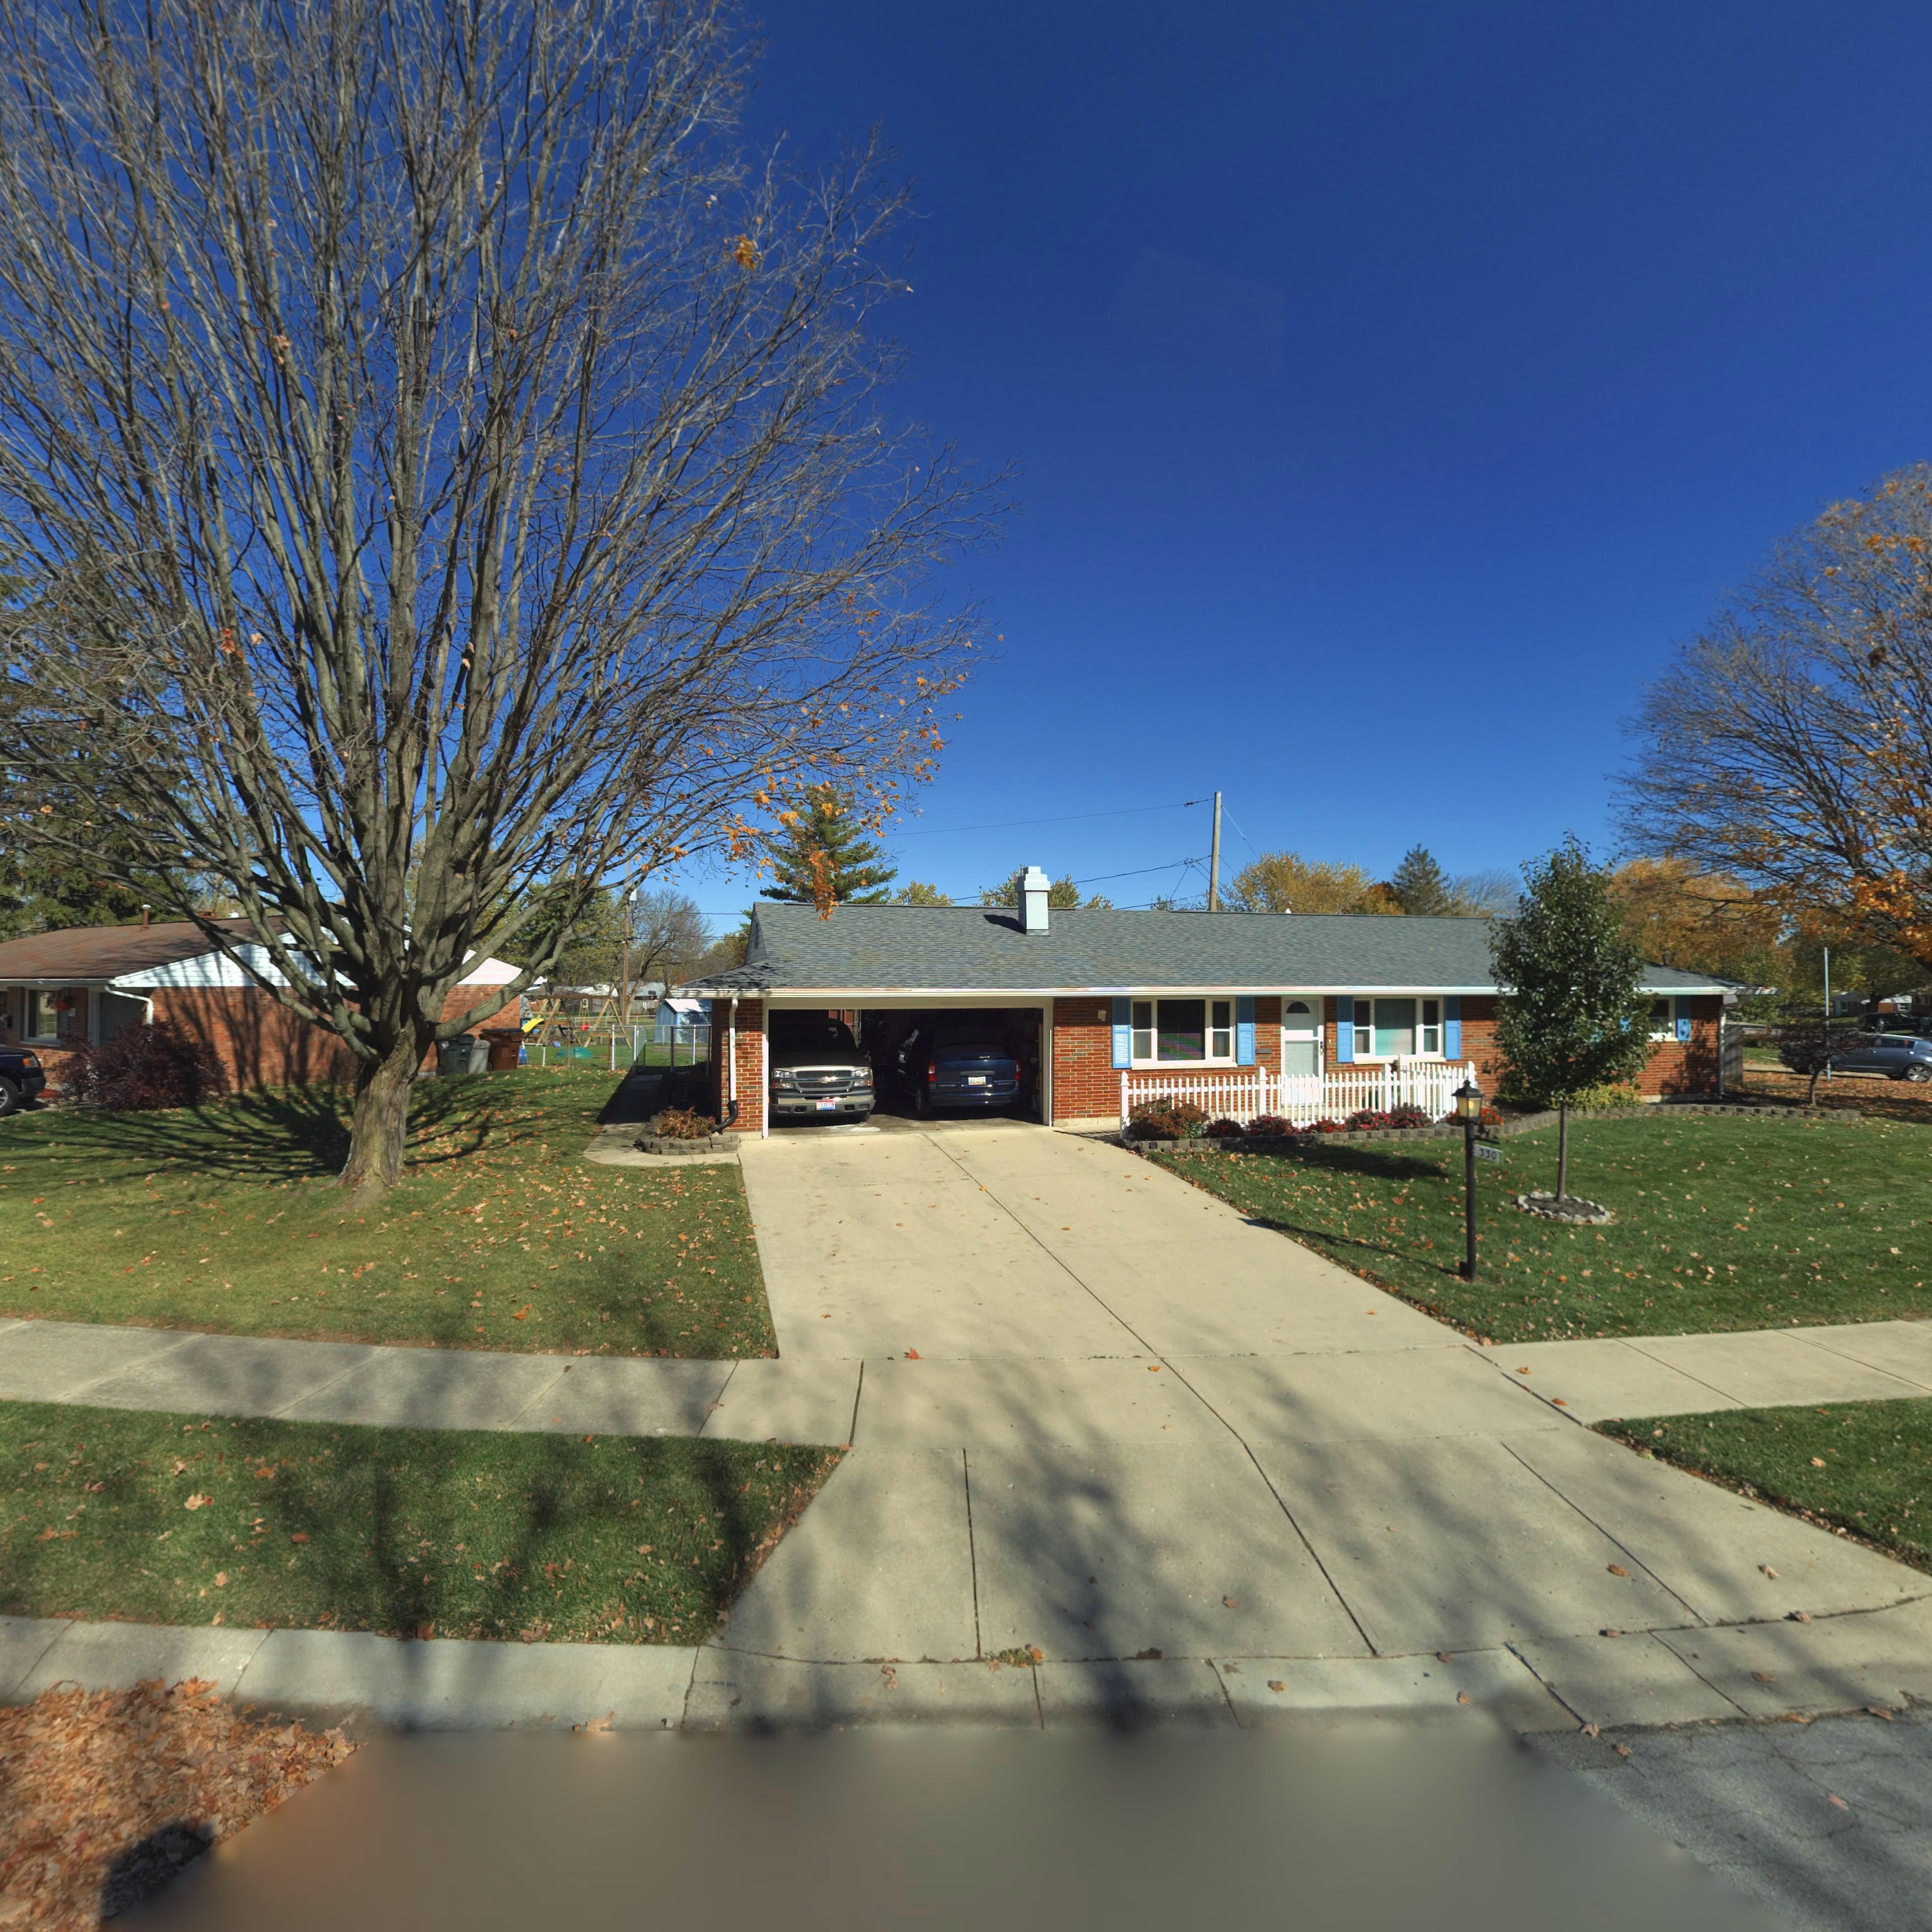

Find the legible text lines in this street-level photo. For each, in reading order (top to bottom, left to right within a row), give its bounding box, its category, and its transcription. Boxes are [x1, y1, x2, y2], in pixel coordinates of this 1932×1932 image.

[1478, 1147, 1498, 1162] StreetNumber: 330